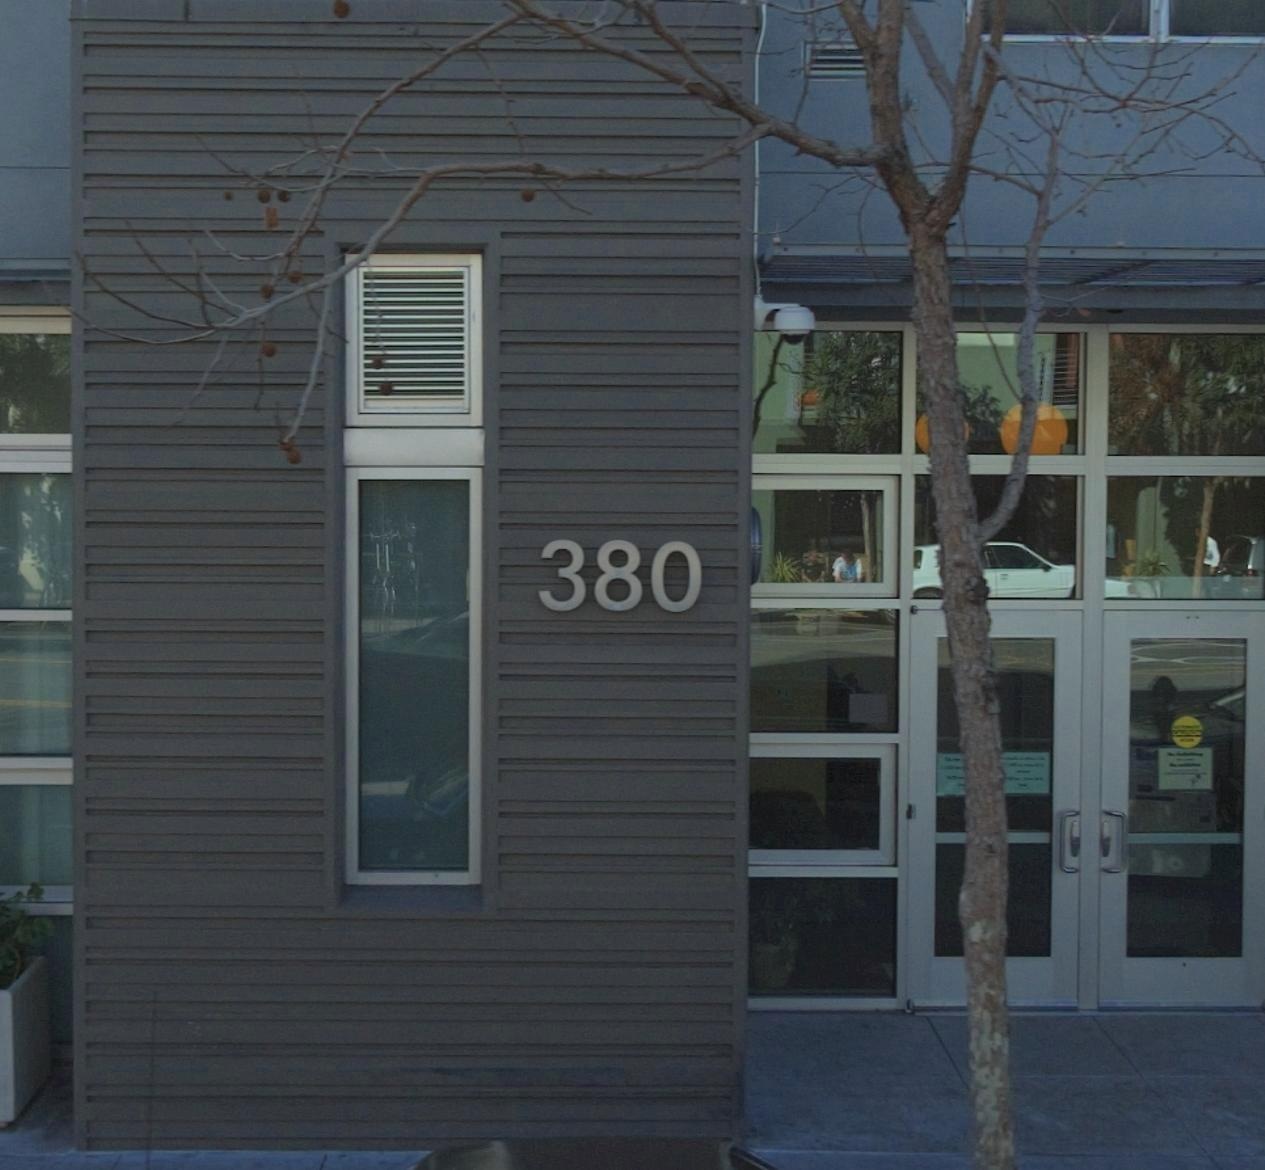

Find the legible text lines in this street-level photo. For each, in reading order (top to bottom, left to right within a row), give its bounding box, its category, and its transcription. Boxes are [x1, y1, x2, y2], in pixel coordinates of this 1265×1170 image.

[537, 538, 704, 615] StreetNumber: 380